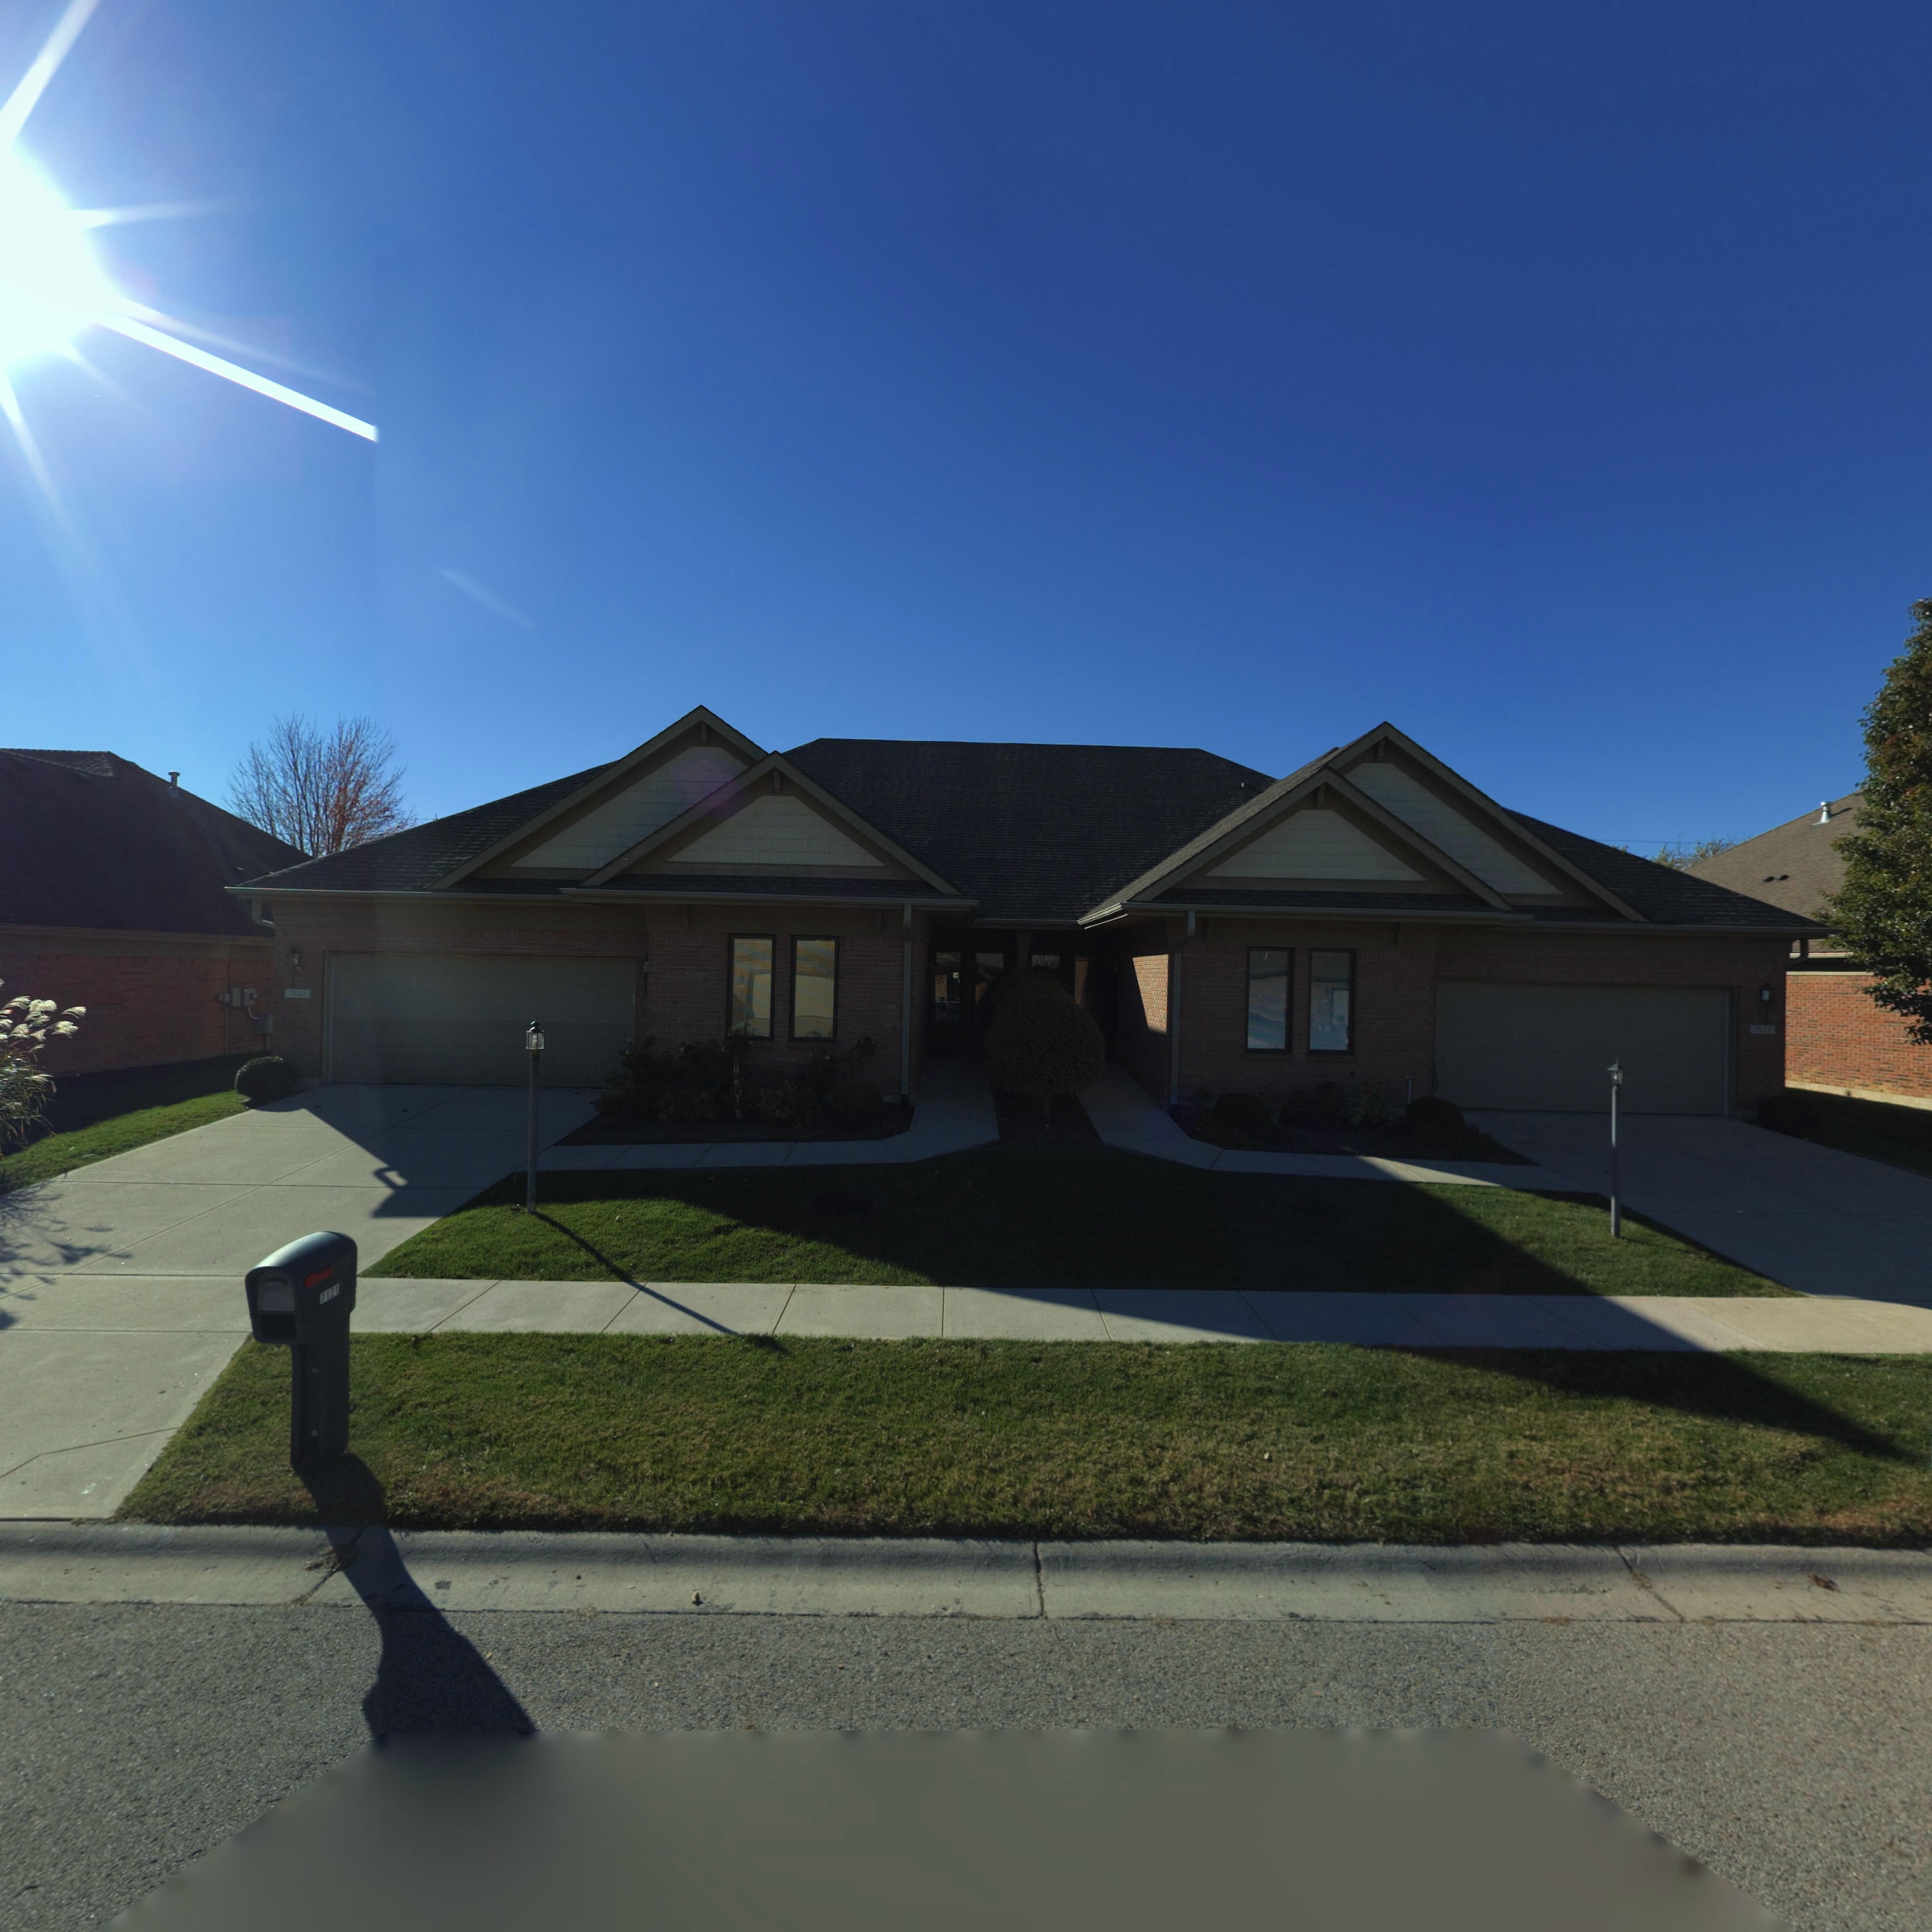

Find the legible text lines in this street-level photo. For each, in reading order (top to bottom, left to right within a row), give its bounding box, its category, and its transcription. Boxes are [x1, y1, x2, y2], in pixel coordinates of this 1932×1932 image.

[289, 989, 307, 997] StreetNumber: 7121
[1754, 1025, 1772, 1034] StreetNumber: 7125
[319, 1283, 339, 1304] StreetNumber: 7121